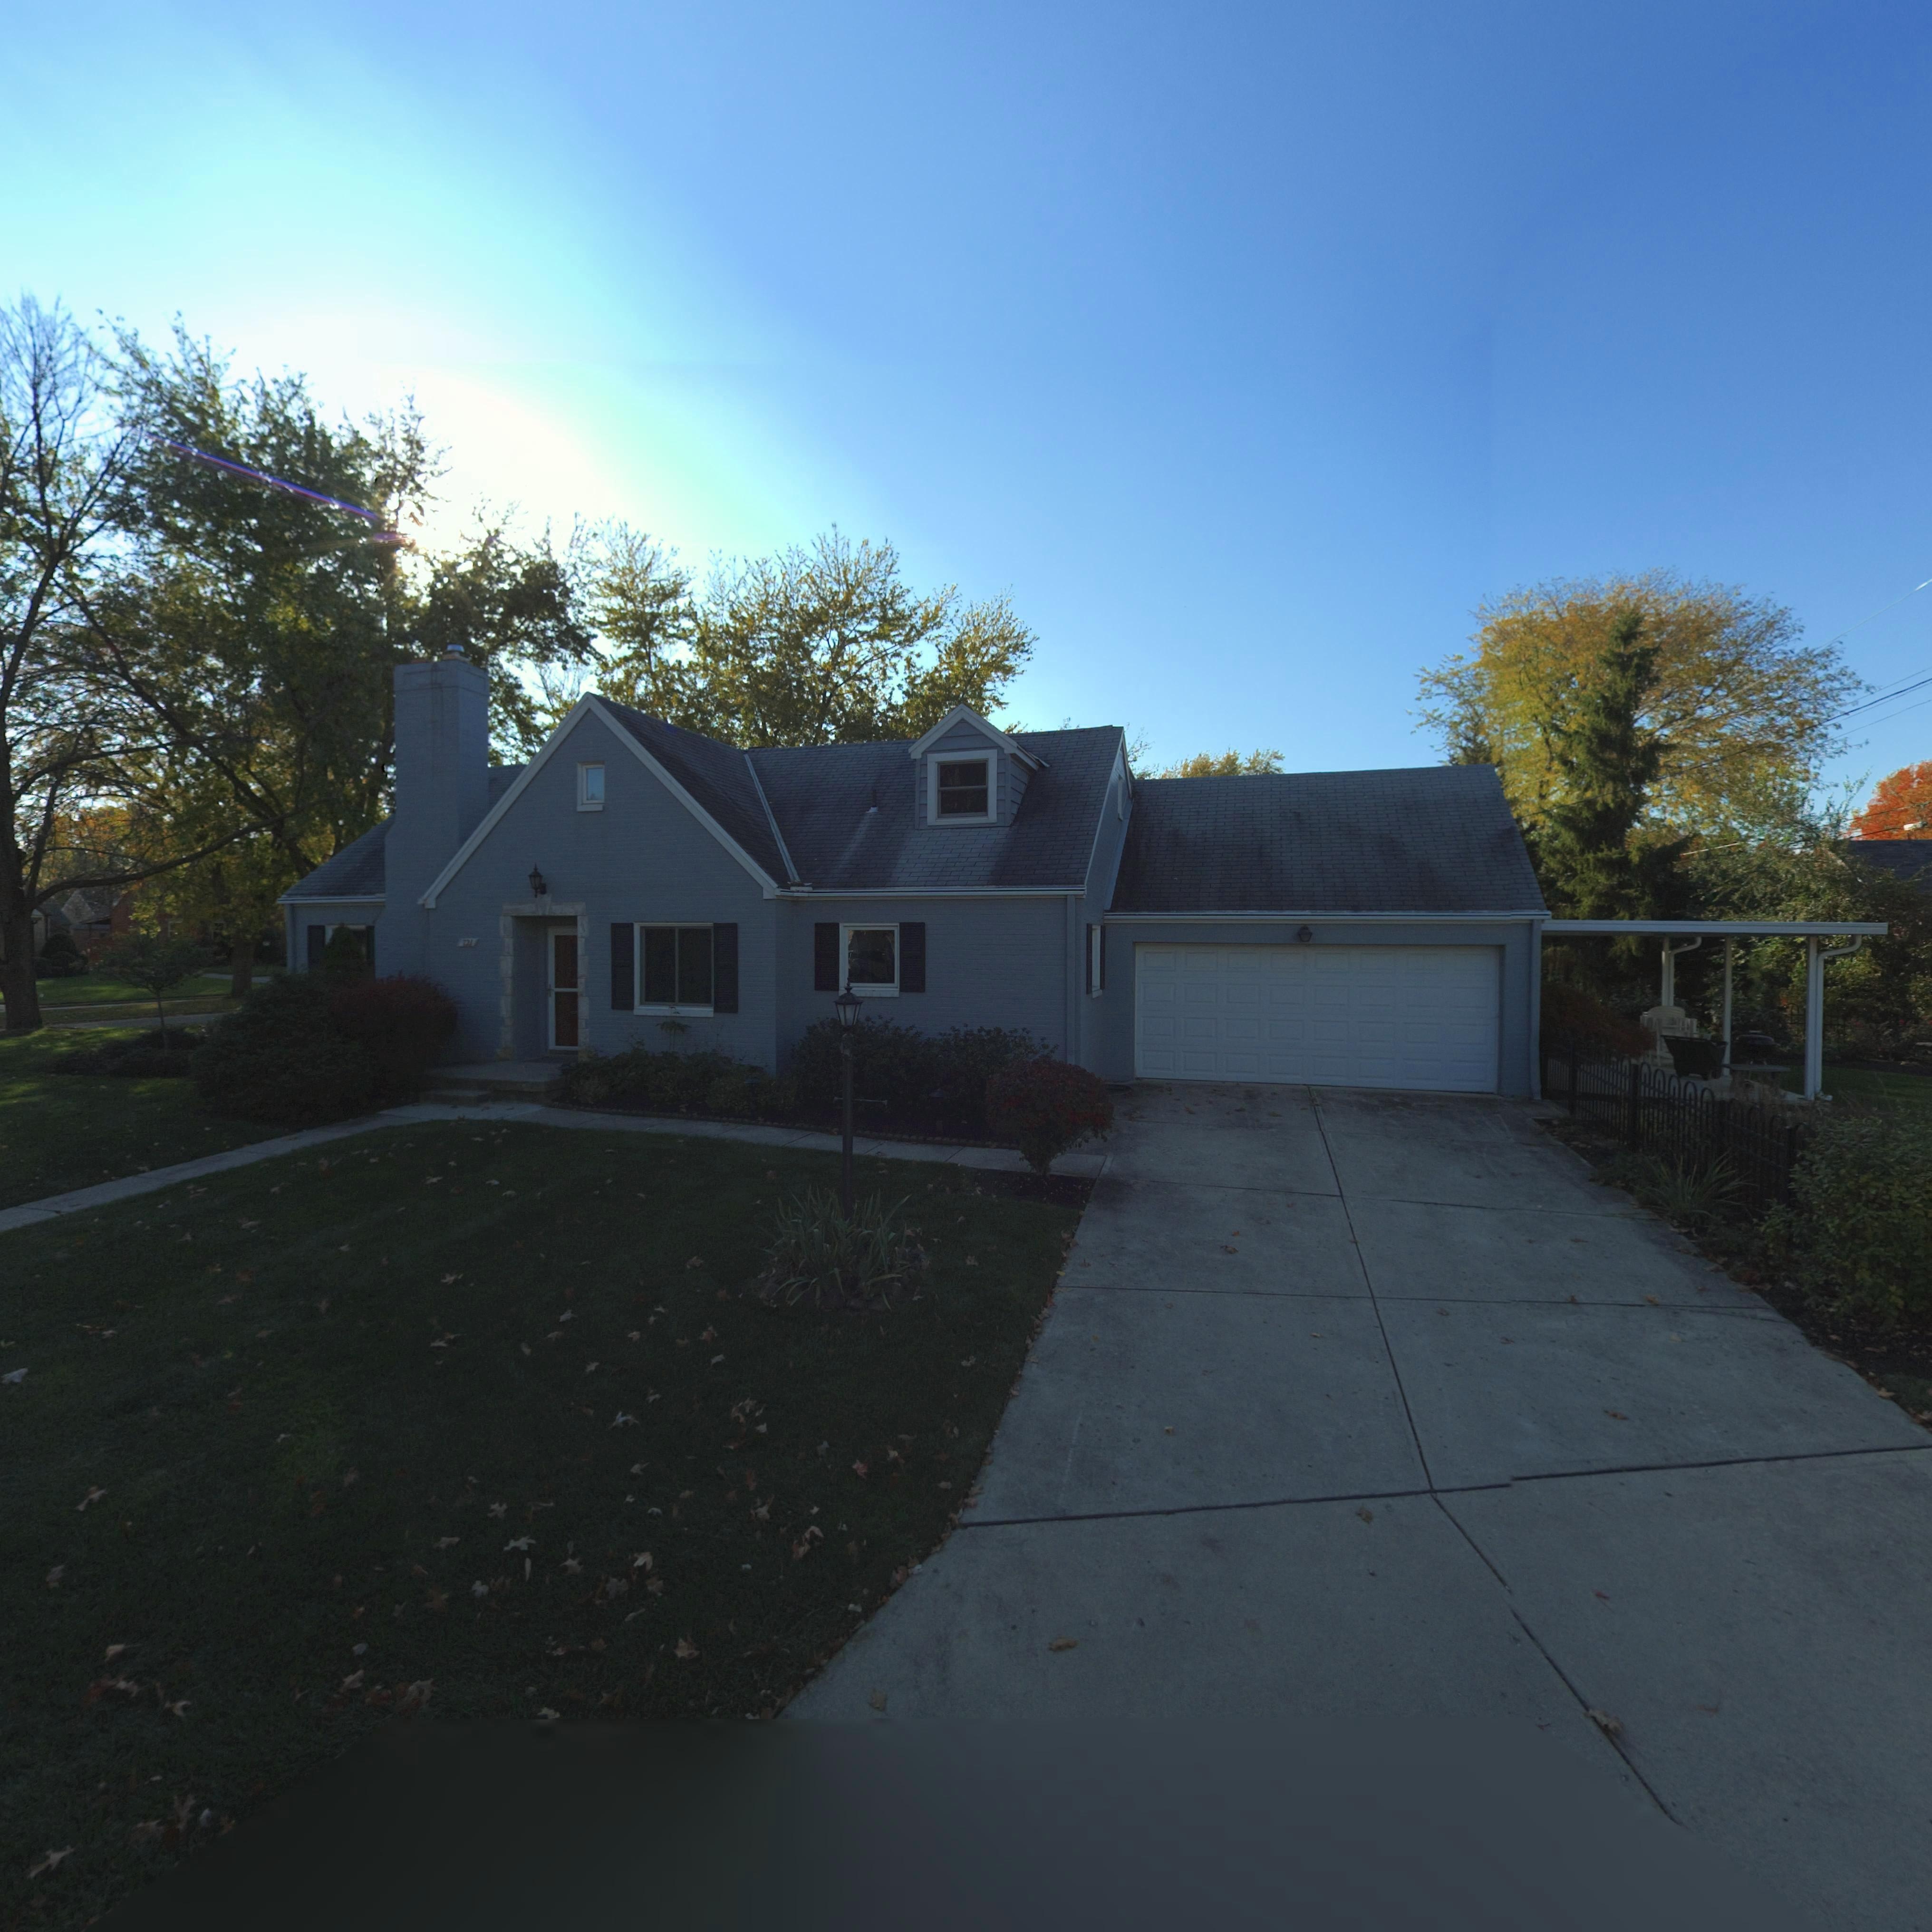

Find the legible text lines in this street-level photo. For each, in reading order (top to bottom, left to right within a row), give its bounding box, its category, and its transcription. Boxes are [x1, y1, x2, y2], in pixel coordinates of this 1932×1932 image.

[462, 938, 473, 946] StreetNumber: 721